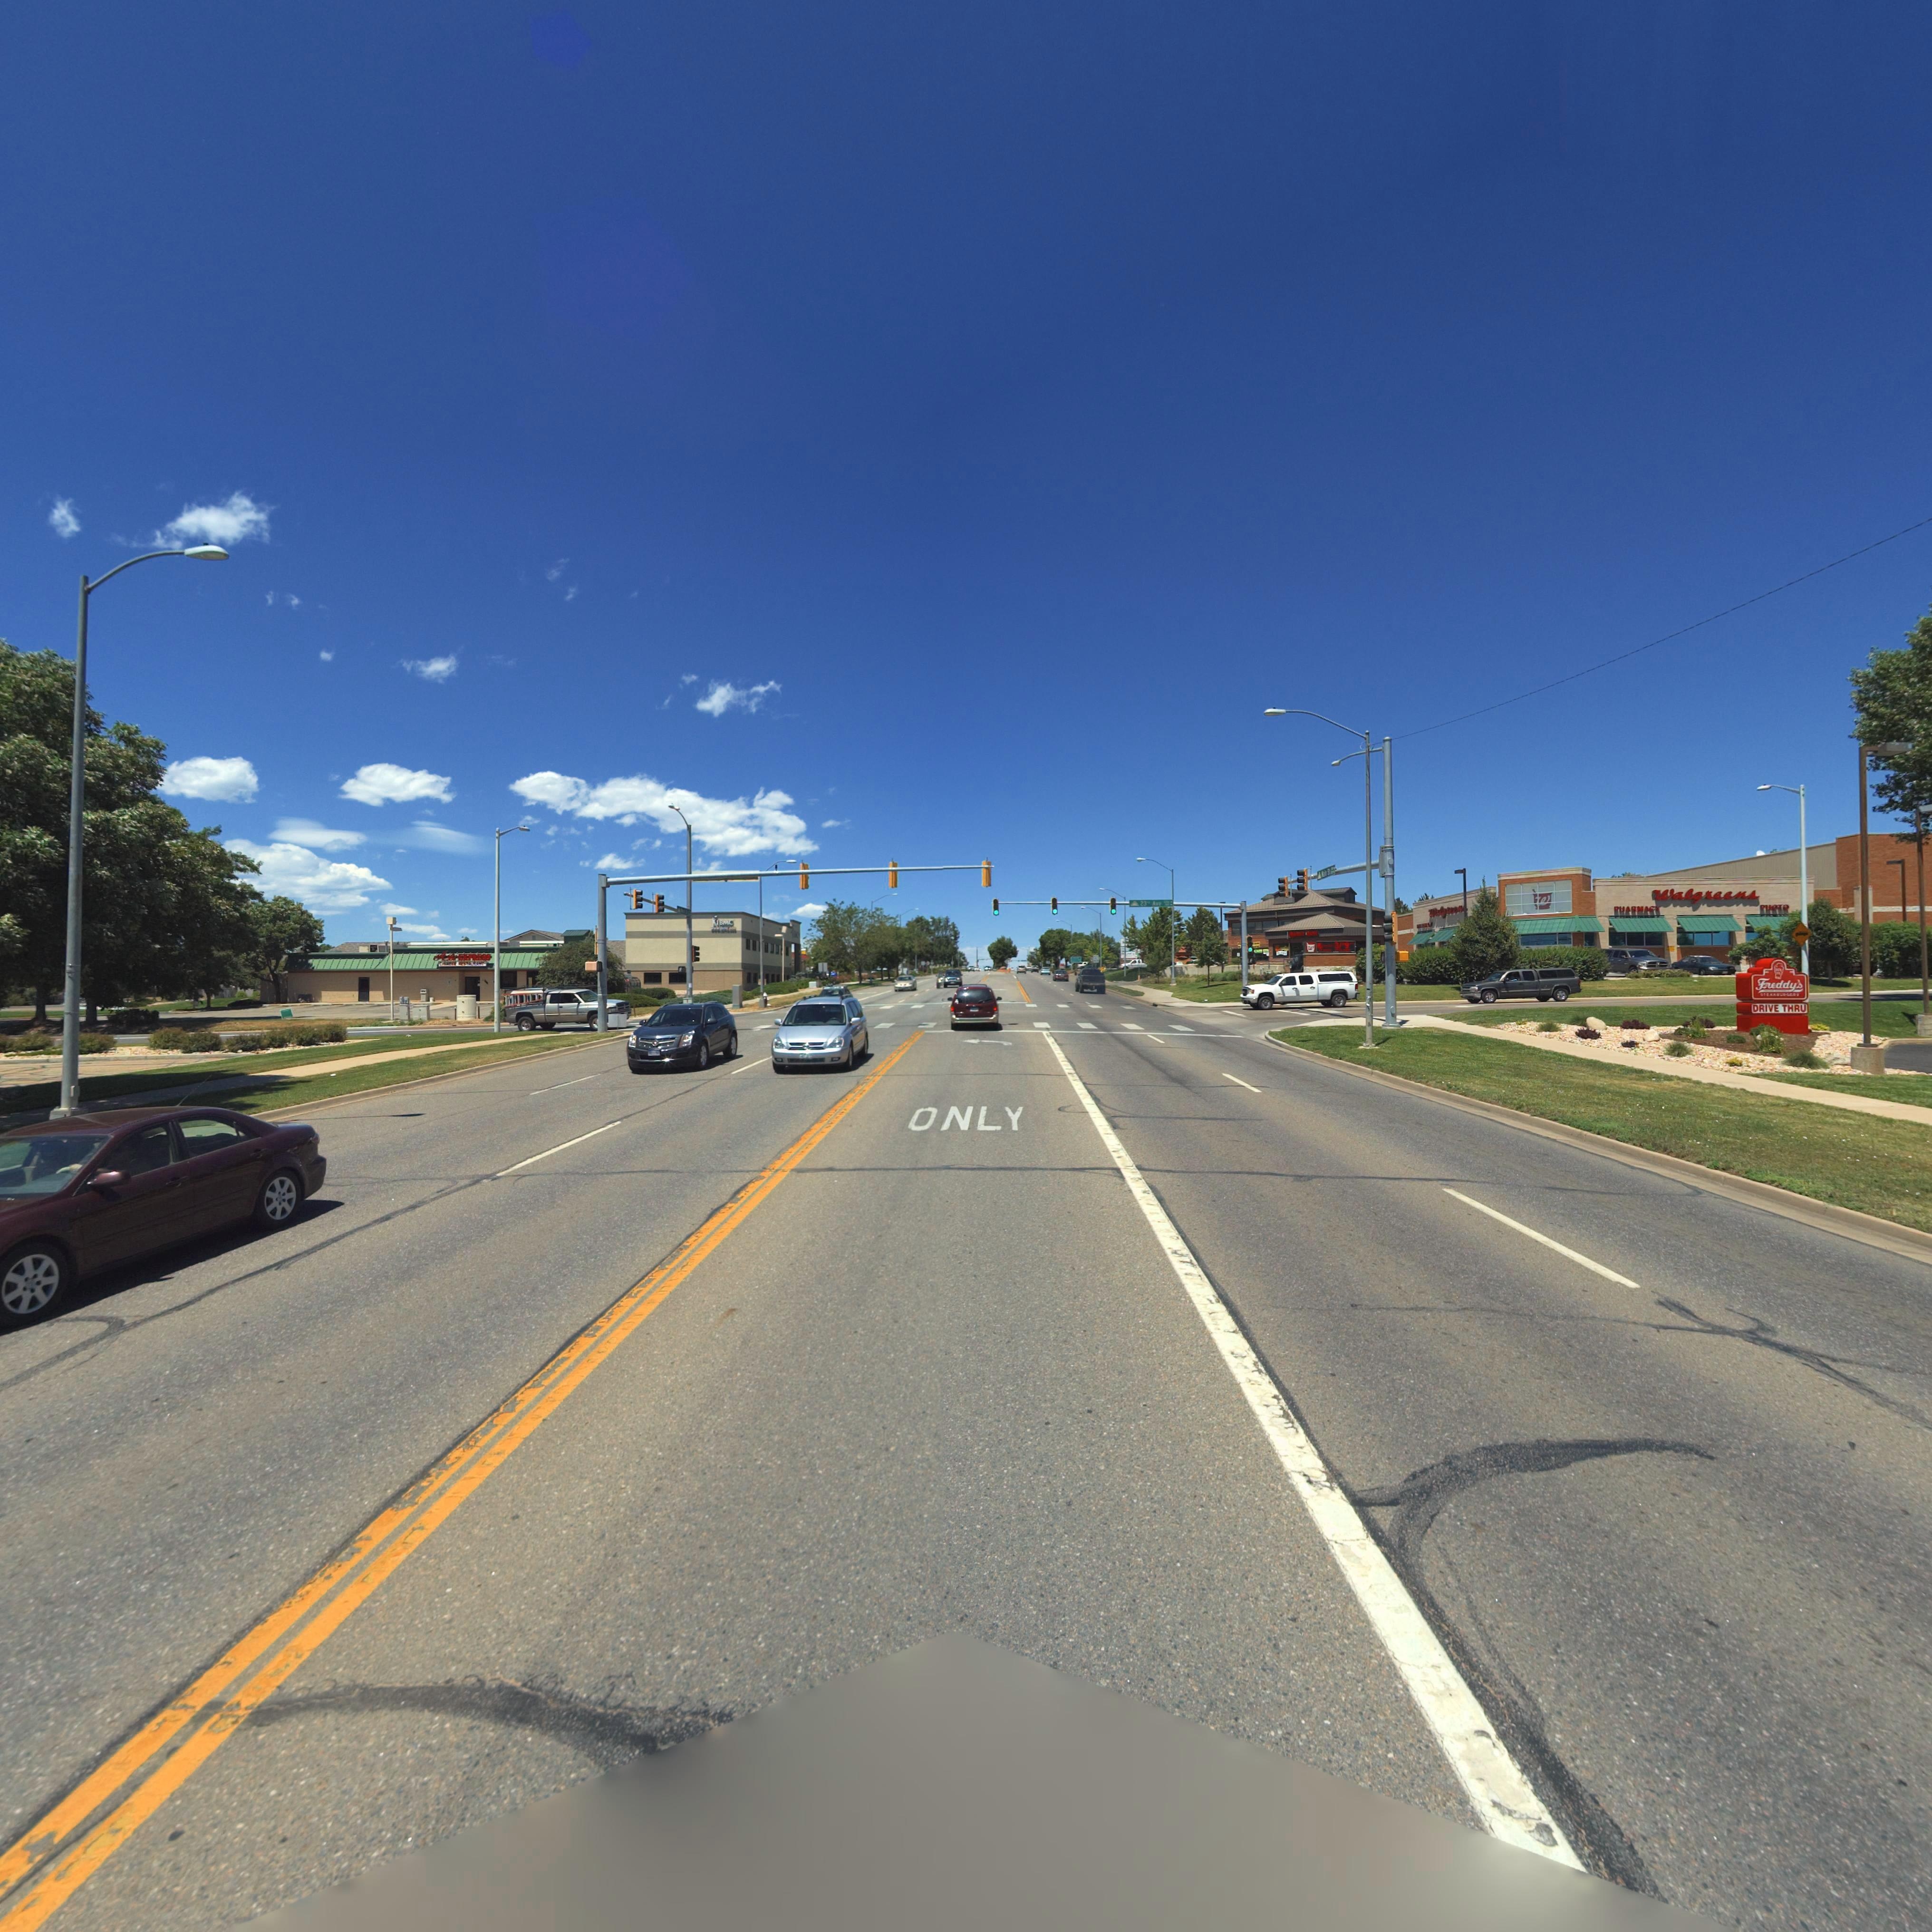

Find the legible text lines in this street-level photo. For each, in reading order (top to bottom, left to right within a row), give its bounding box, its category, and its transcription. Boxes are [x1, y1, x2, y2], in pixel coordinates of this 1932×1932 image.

[1321, 868, 1331, 878] BusinessName: *ain St
[1651, 888, 1760, 905] BusinessName: Walgreens
[1140, 900, 1162, 906] BusinessName: 23** Ave
[1427, 904, 1468, 918] BusinessName: Walgreen*
[716, 919, 734, 925] BusinessName: IBMC
[433, 949, 491, 961] BusinessName: Ali EXPRESS
[1755, 978, 1804, 992] BusinessName: Freddy's